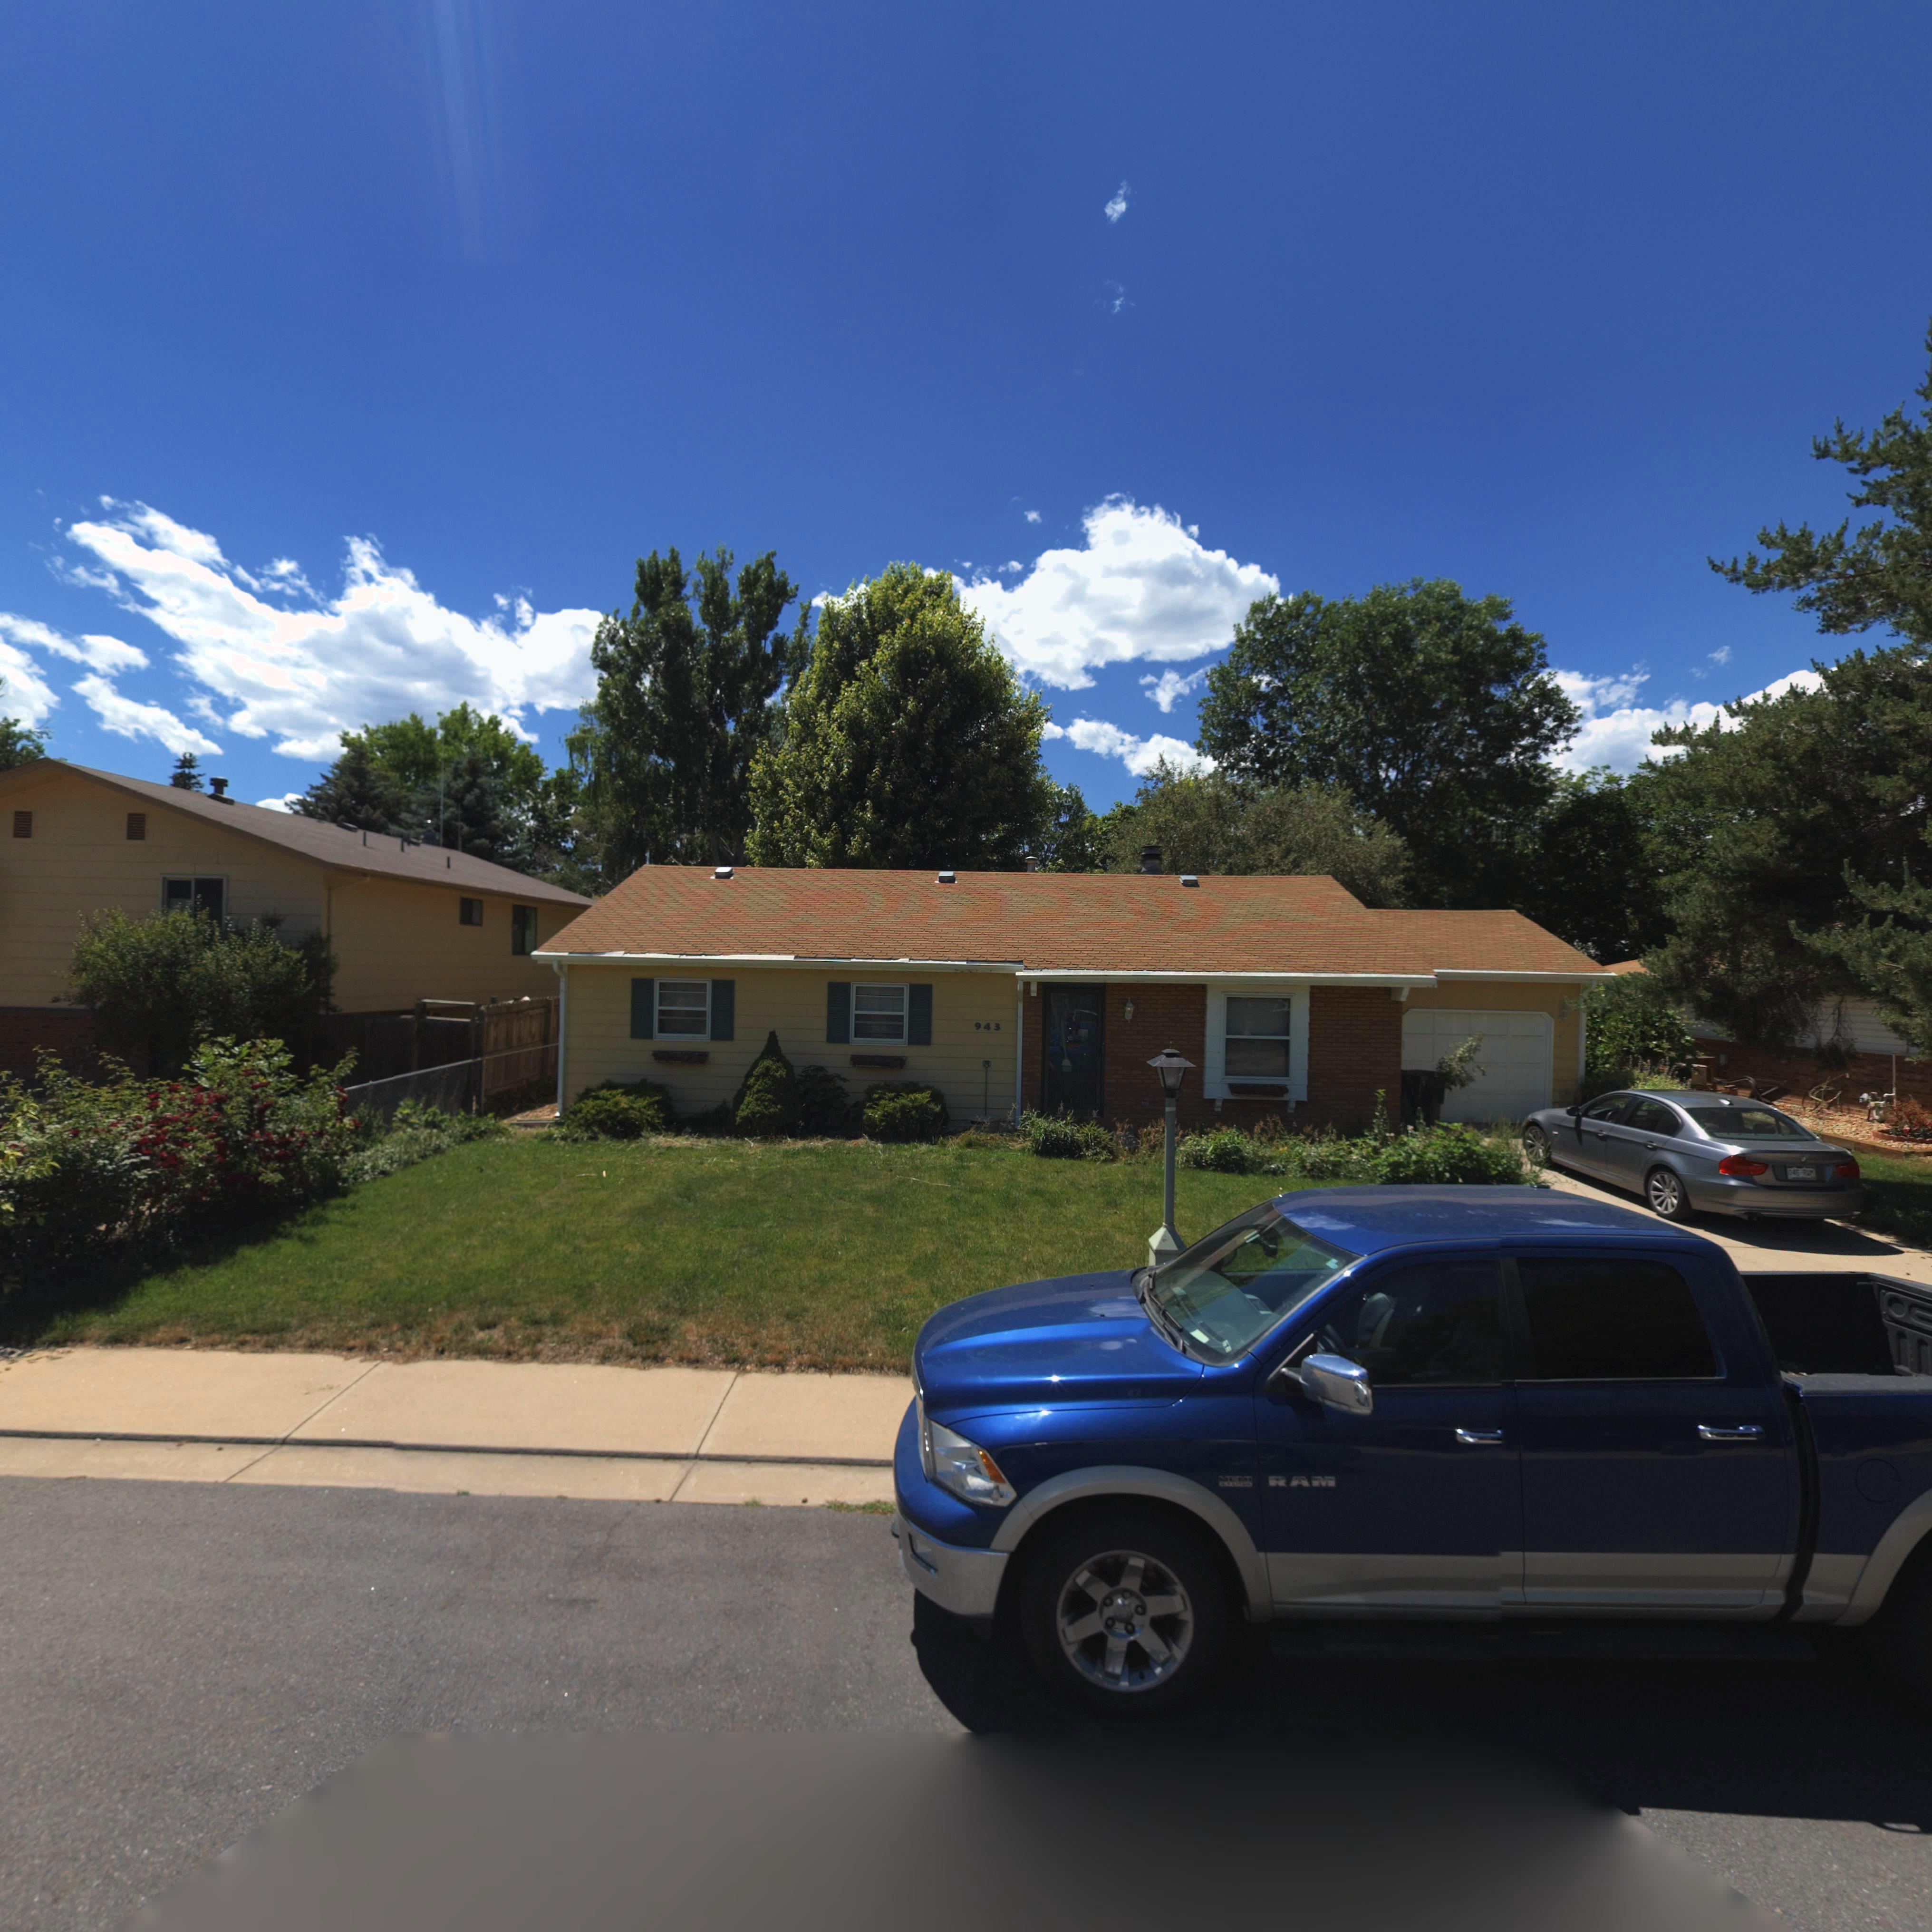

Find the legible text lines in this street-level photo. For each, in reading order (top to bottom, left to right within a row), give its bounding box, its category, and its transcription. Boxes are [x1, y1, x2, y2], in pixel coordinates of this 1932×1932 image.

[974, 1022, 1001, 1031] StreetNumber: 943